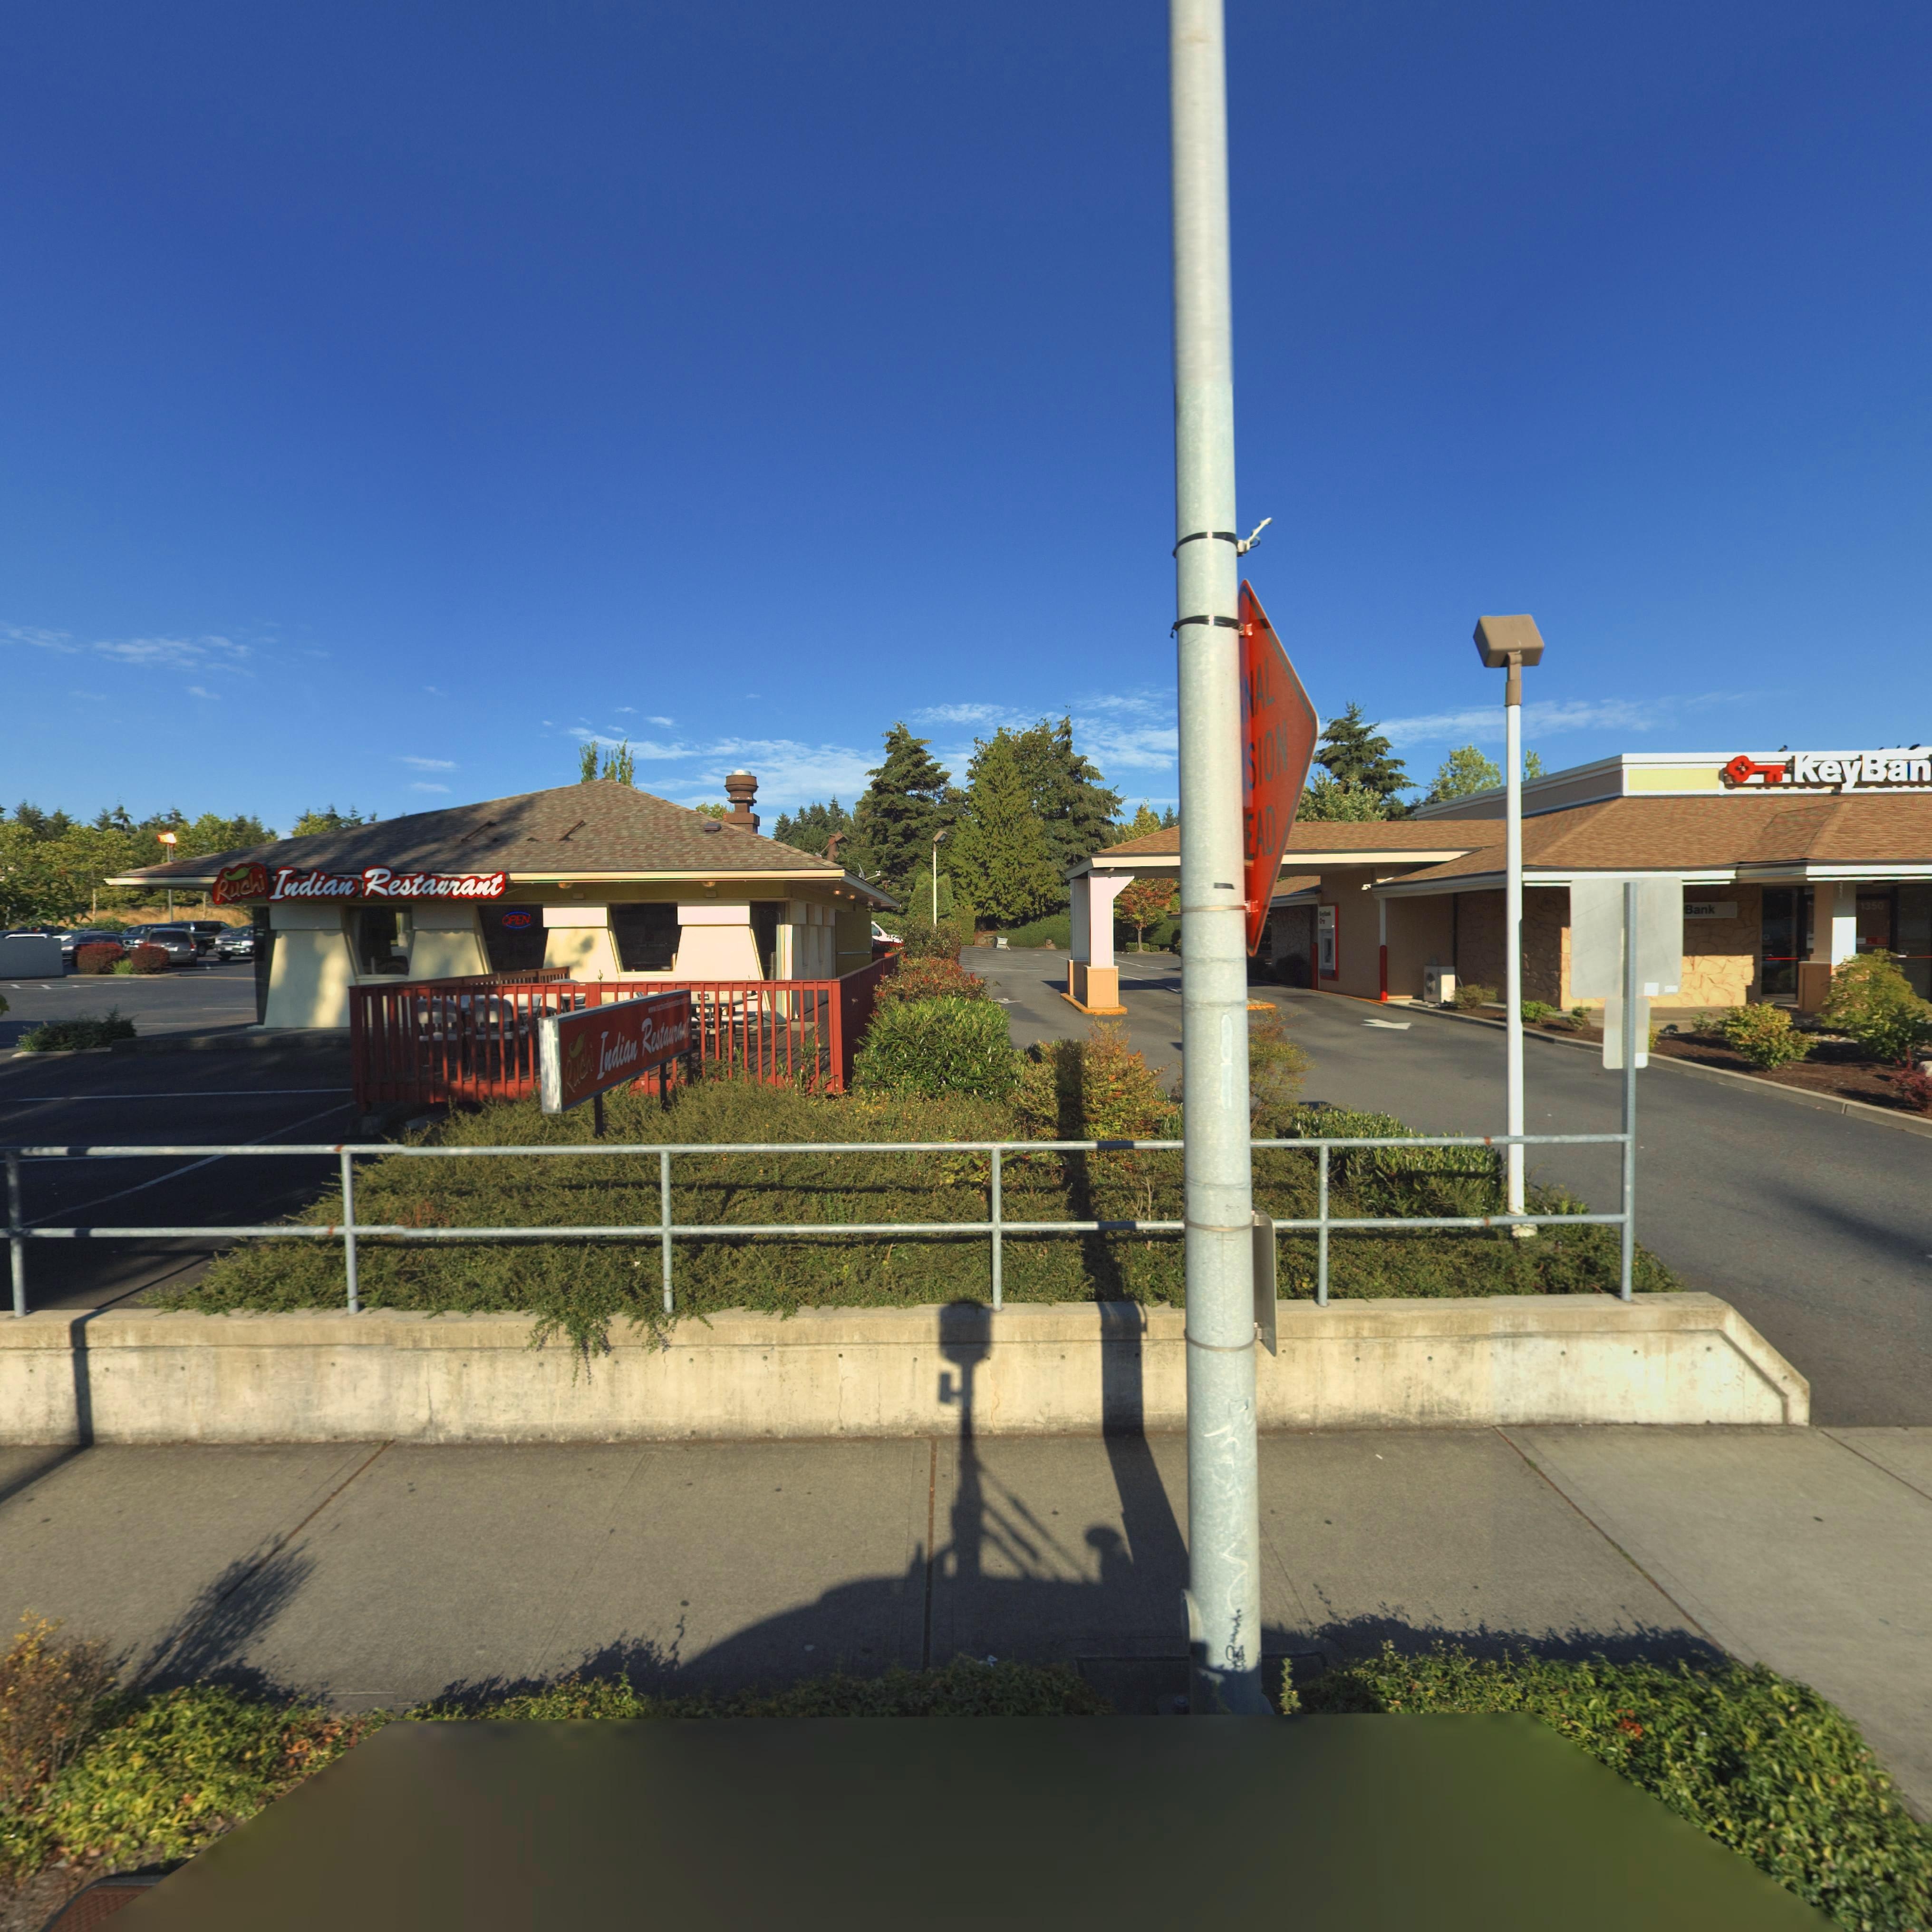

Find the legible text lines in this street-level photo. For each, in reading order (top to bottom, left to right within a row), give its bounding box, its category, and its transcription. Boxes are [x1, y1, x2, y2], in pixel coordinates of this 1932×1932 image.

[1793, 753, 1932, 793] BusinessName: KeyBan
[215, 871, 266, 902] BusinessName: Ruchi
[267, 867, 503, 900] BusinessName: Indian Restaurant
[1859, 901, 1884, 911] StreetNumber: 1350
[596, 1011, 690, 1079] BusinessName: Indian Restaur***
[564, 1040, 597, 1097] BusinessName: Ruchi